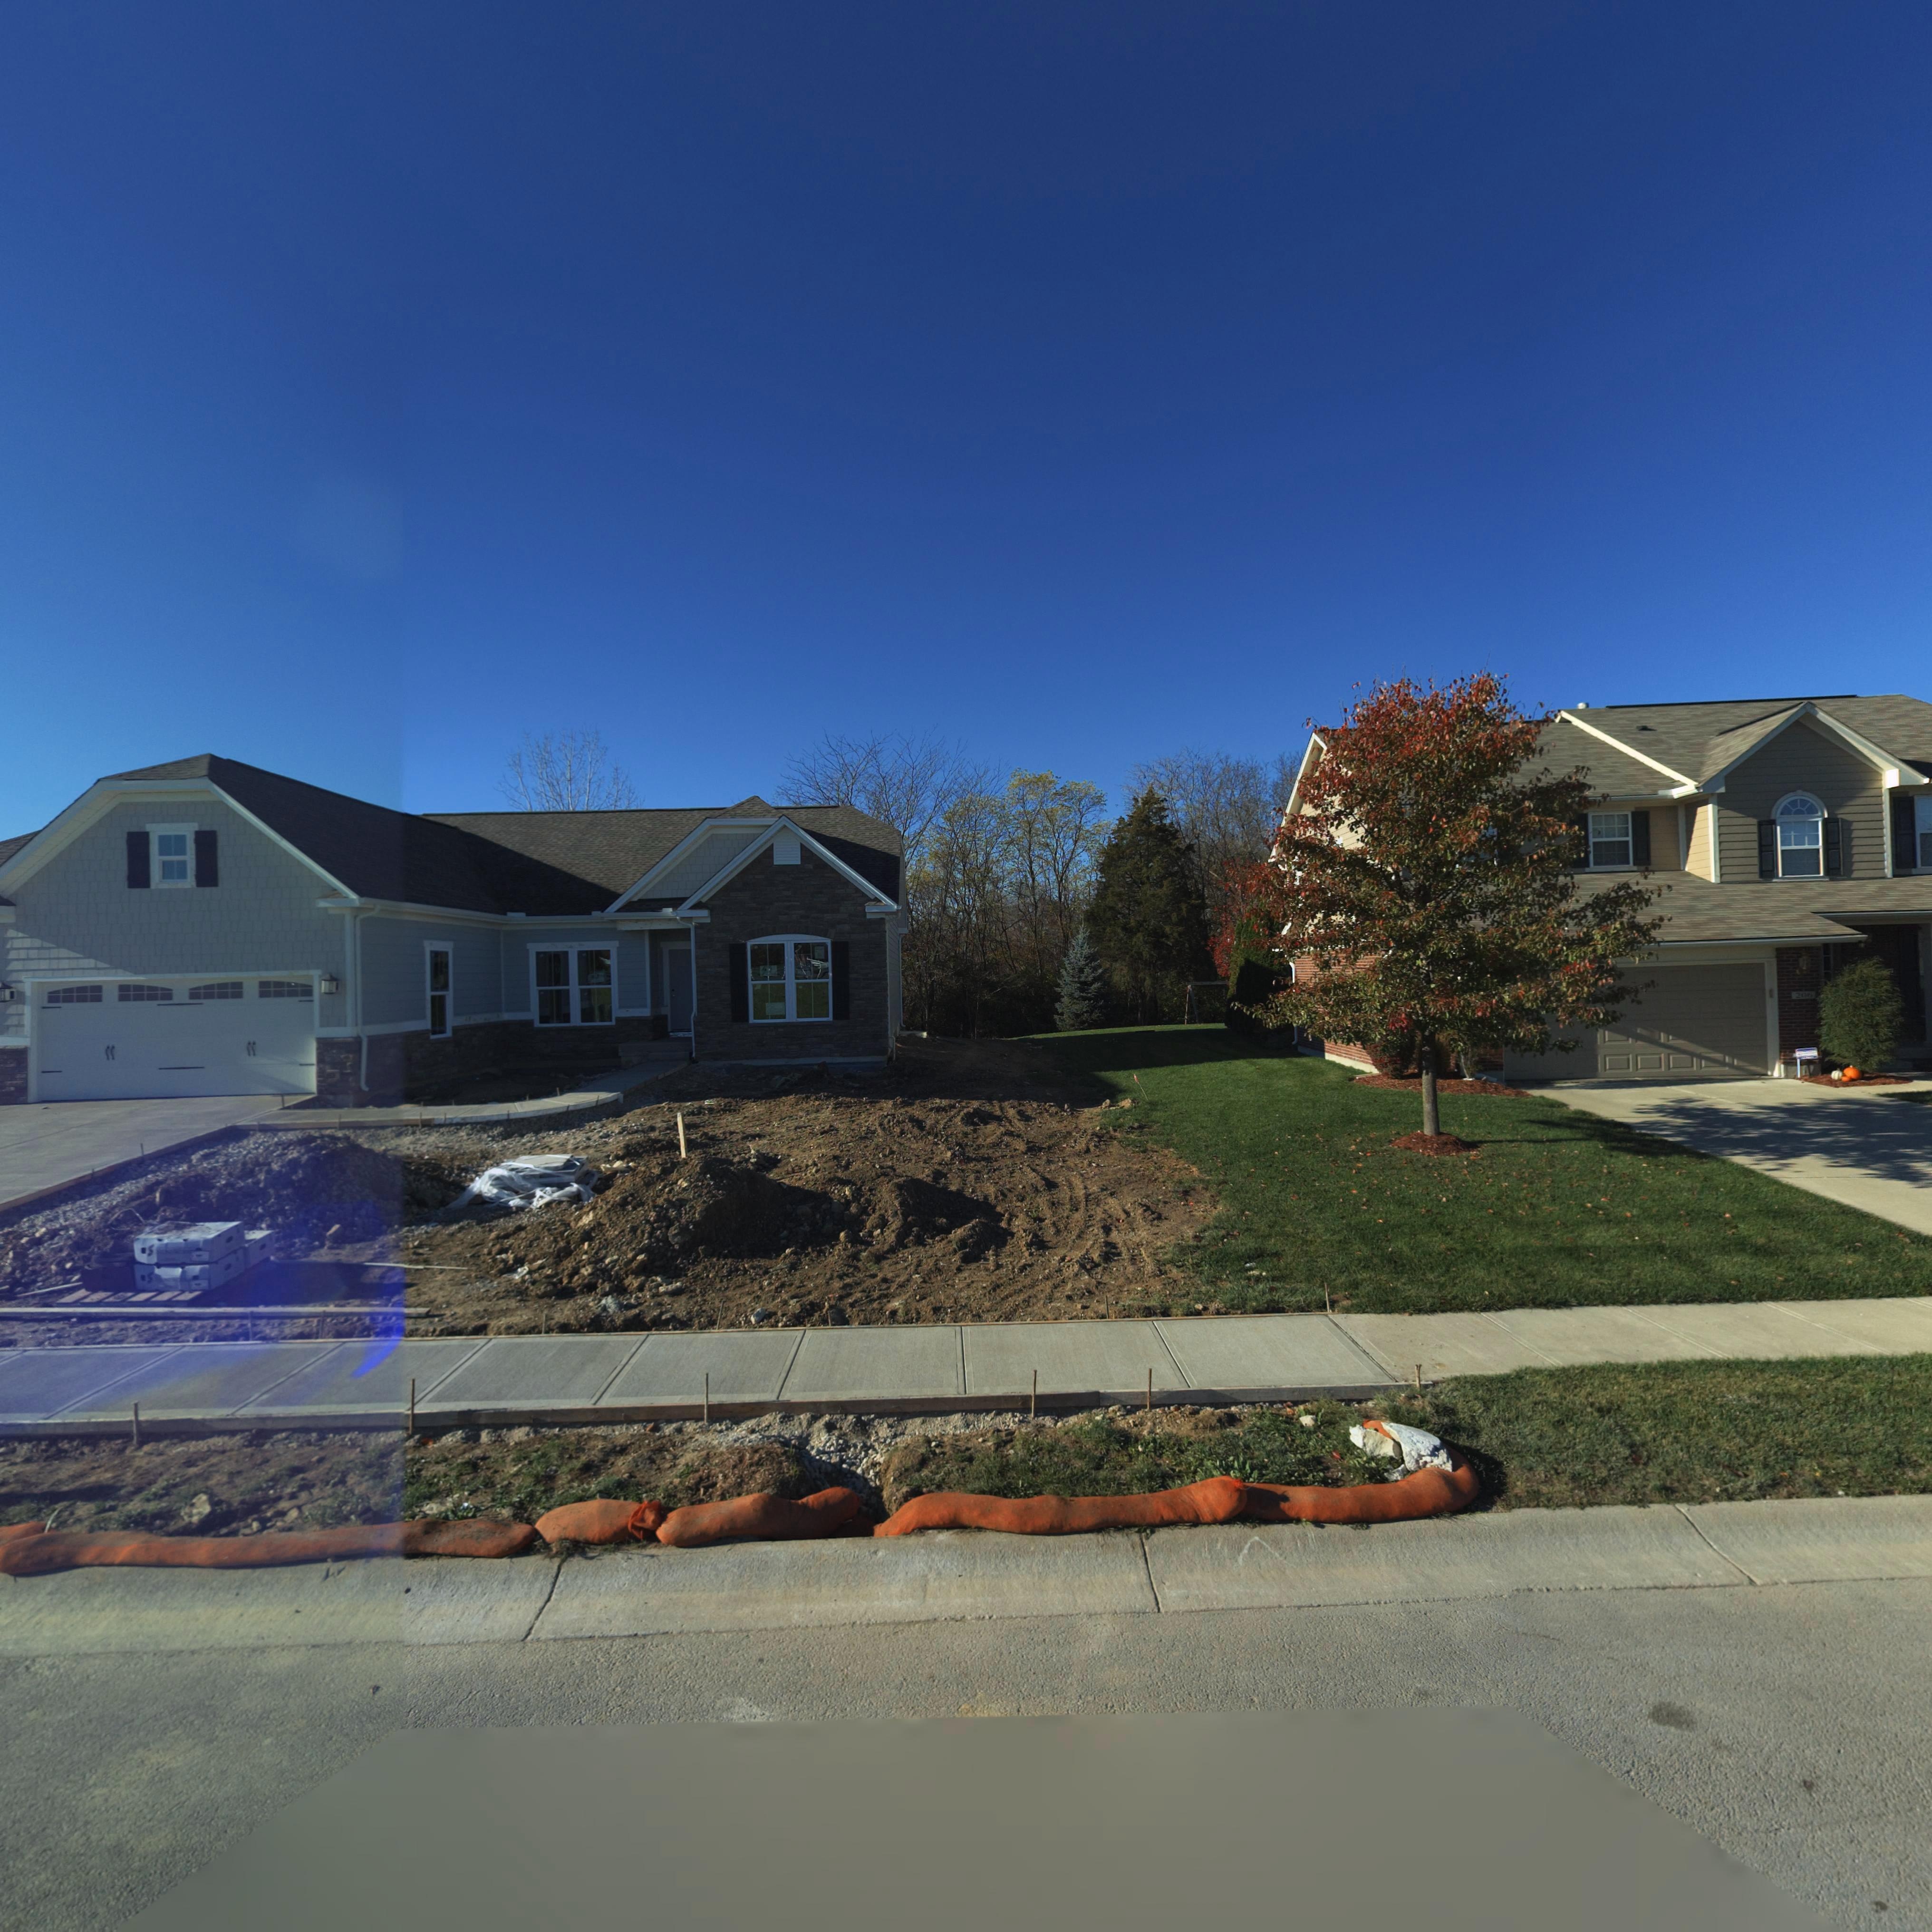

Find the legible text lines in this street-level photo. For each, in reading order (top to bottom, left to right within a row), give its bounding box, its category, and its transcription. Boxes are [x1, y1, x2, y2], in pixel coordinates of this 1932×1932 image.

[1795, 992, 1814, 999] StreetNumber: 206